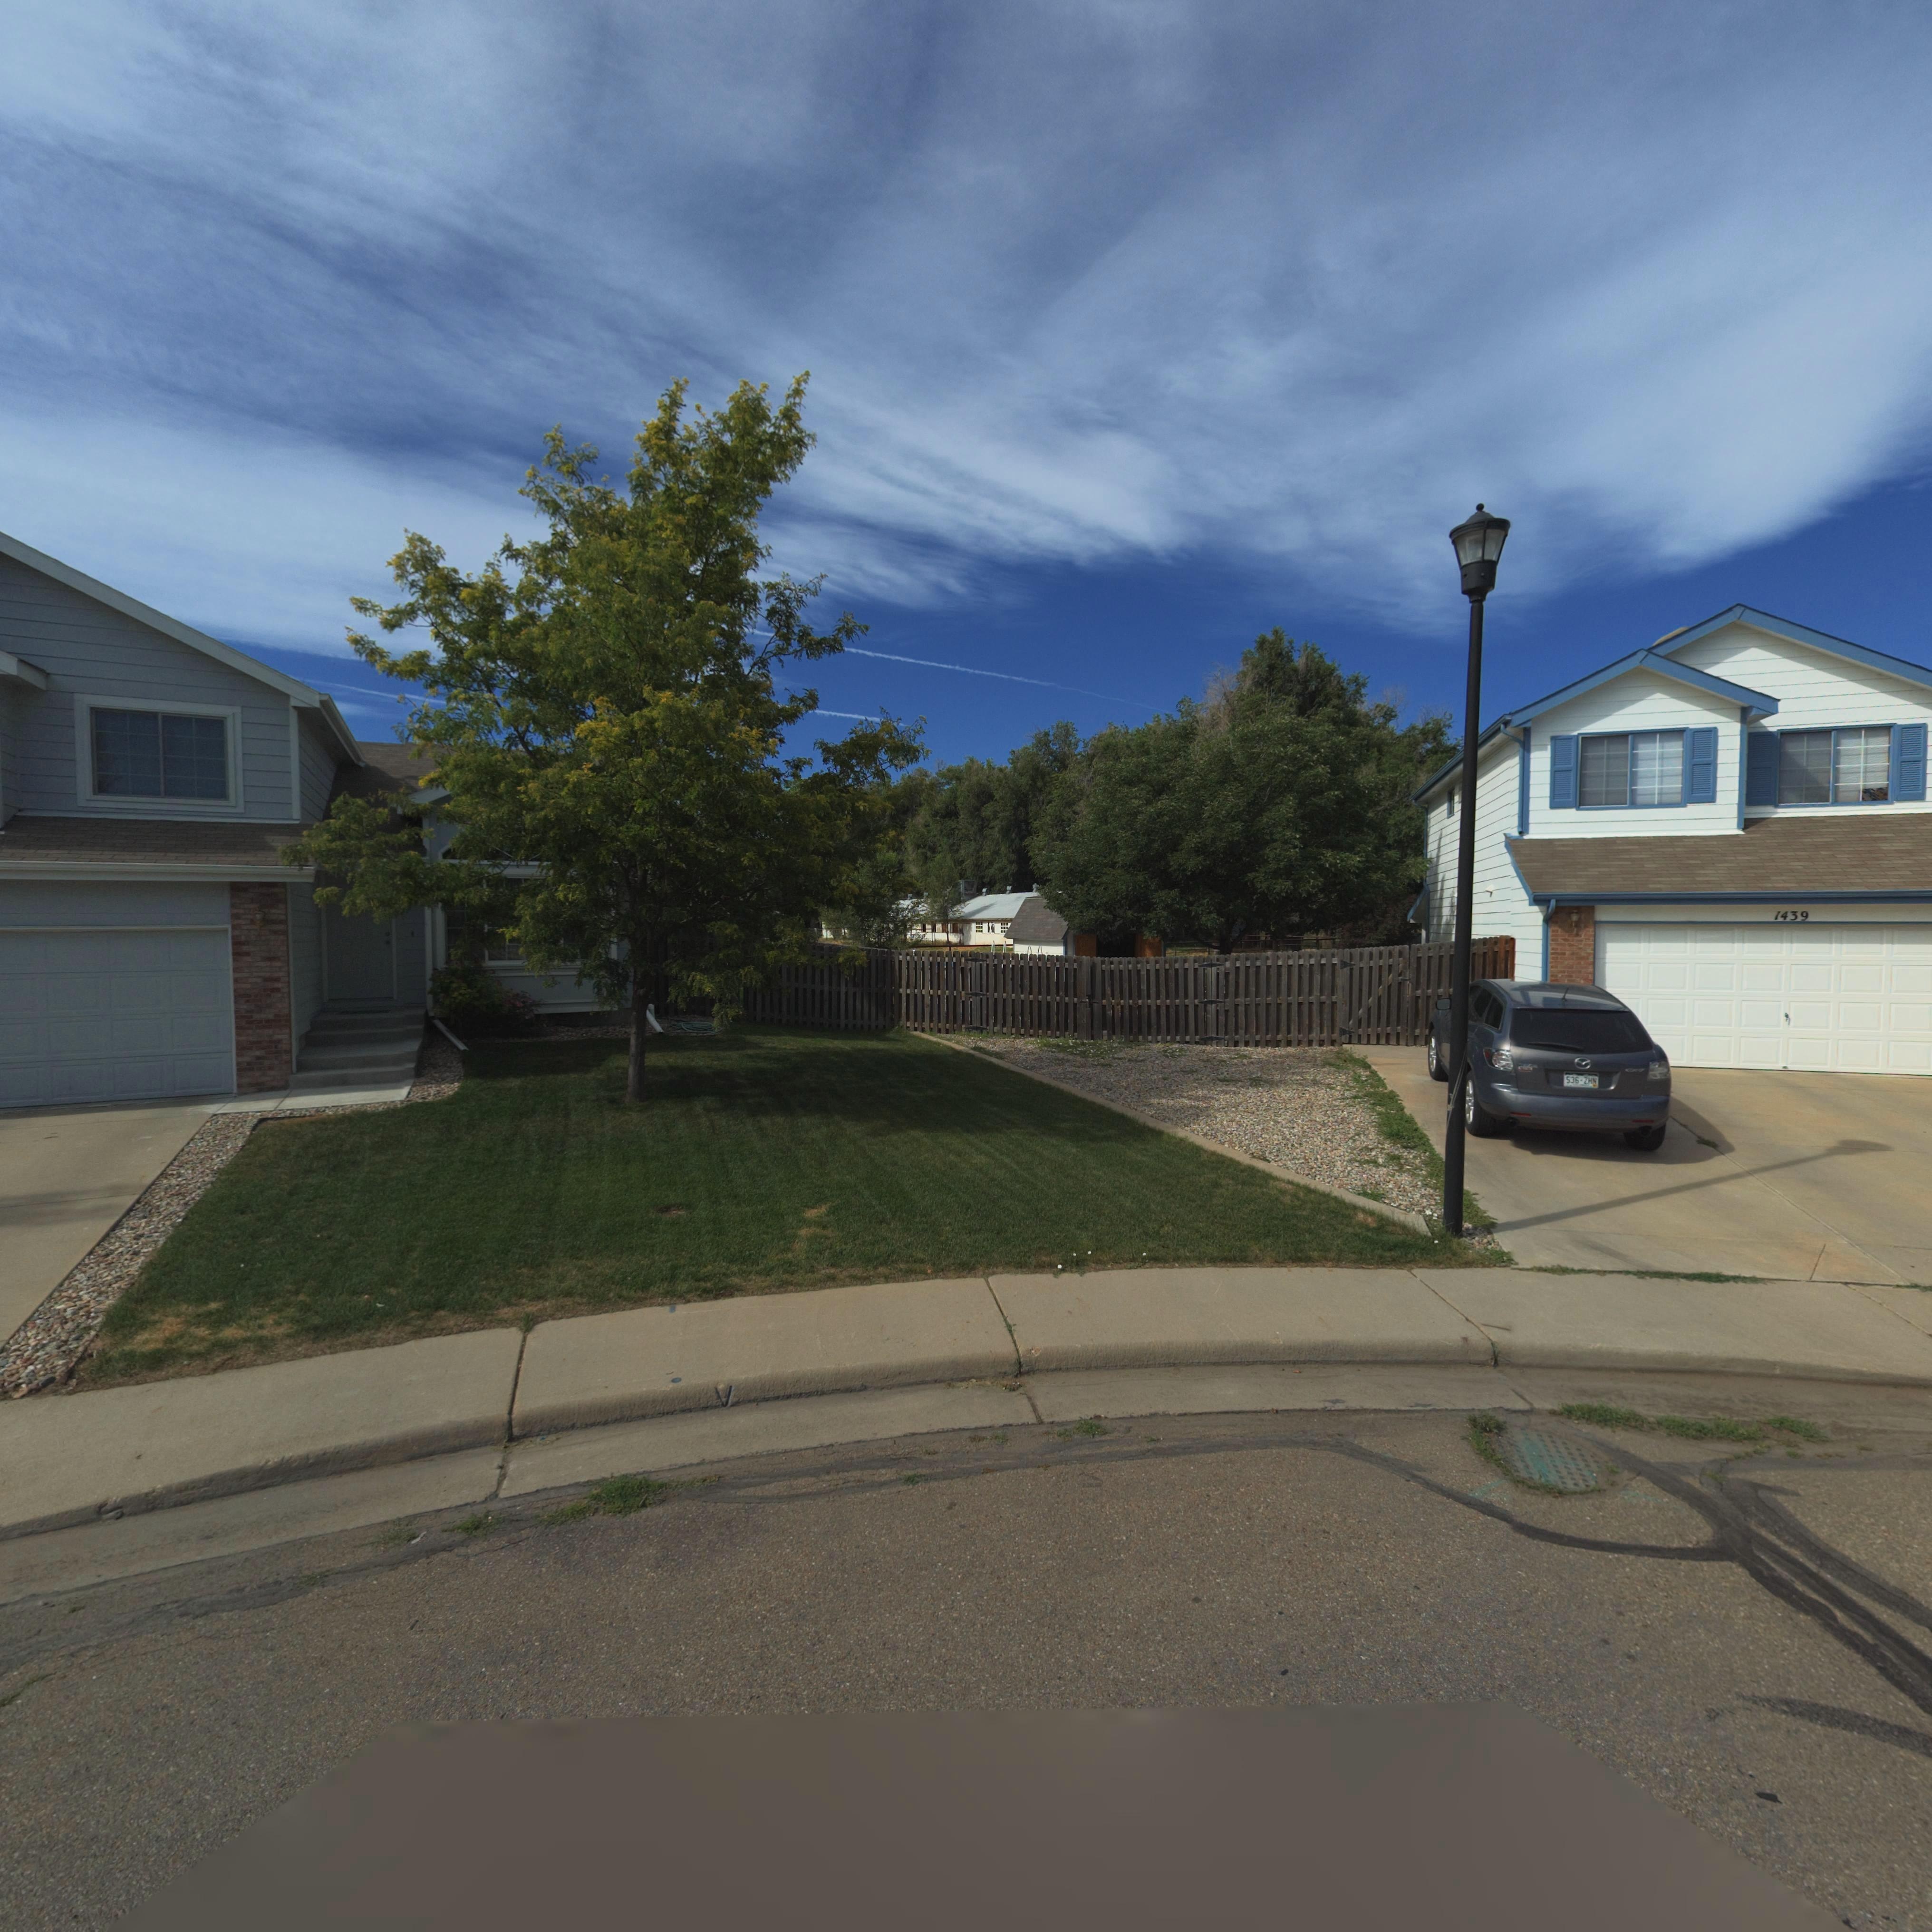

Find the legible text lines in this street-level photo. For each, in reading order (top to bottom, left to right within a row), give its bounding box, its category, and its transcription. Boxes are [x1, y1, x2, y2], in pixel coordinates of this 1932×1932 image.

[1773, 909, 1809, 921] StreetNumber: 1439